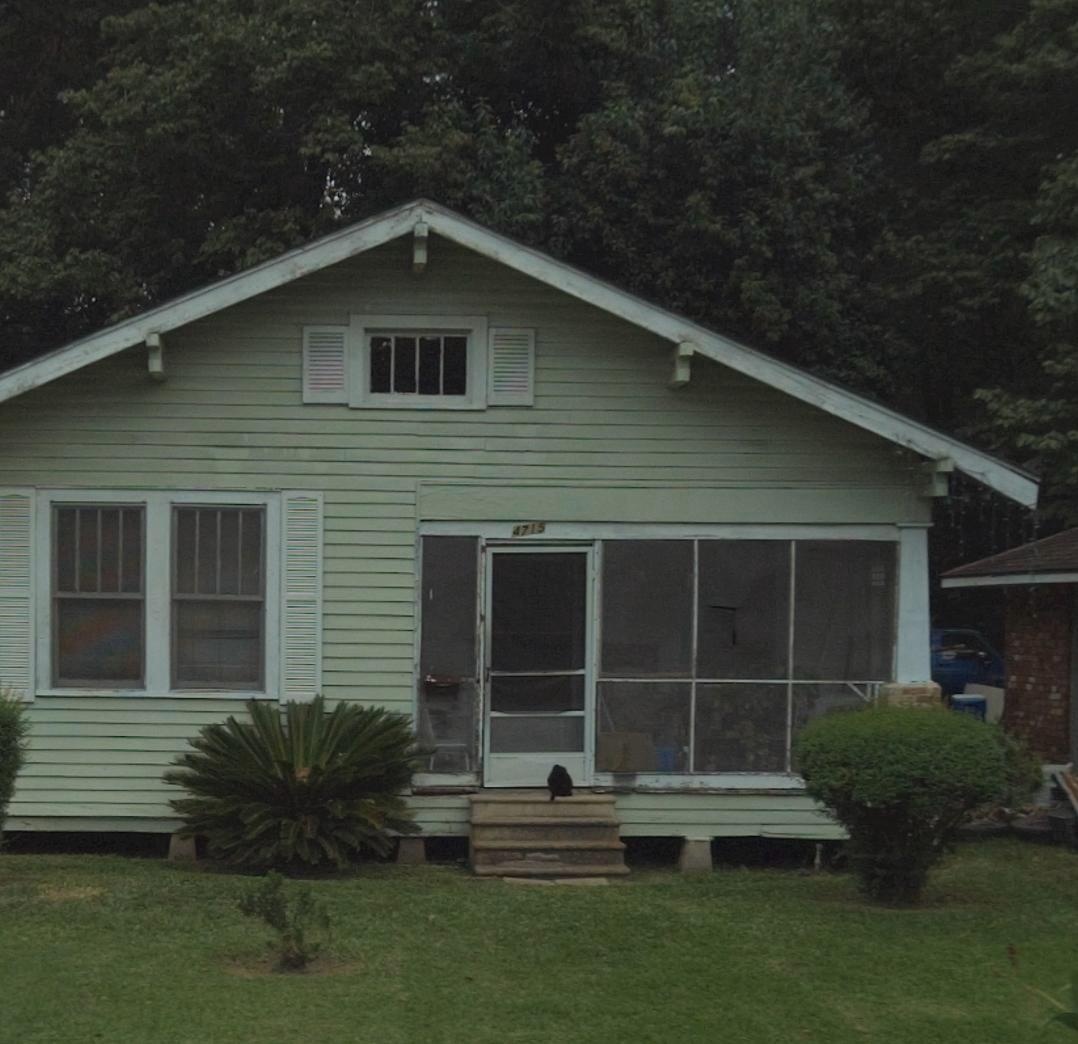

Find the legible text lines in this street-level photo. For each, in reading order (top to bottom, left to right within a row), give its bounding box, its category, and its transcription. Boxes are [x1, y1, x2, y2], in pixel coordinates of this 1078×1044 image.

[513, 522, 546, 537] StreetNumber: 4715